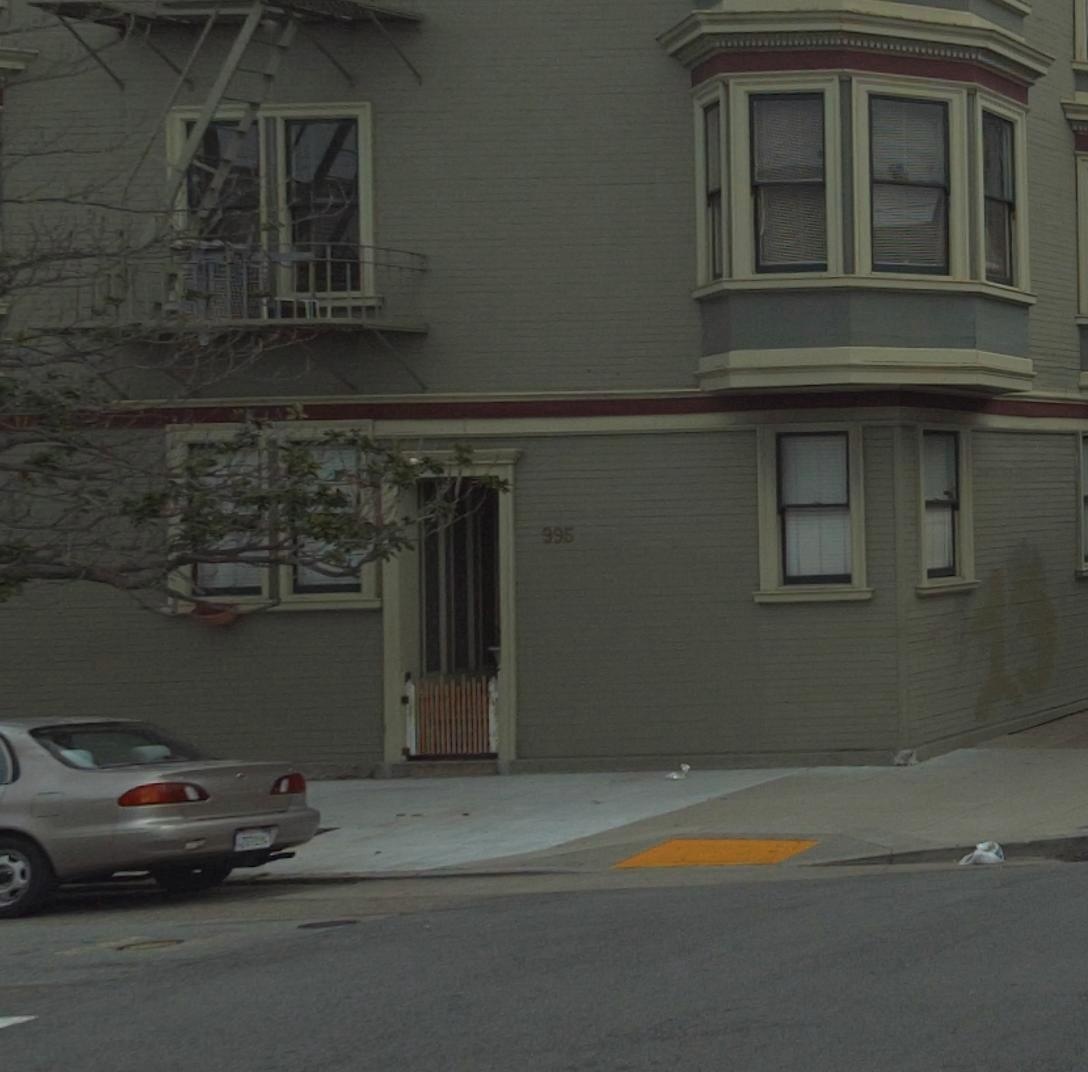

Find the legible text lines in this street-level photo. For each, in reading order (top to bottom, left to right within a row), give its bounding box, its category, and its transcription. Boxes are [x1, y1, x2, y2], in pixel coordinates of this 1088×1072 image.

[541, 525, 575, 545] StreetNumber: 995